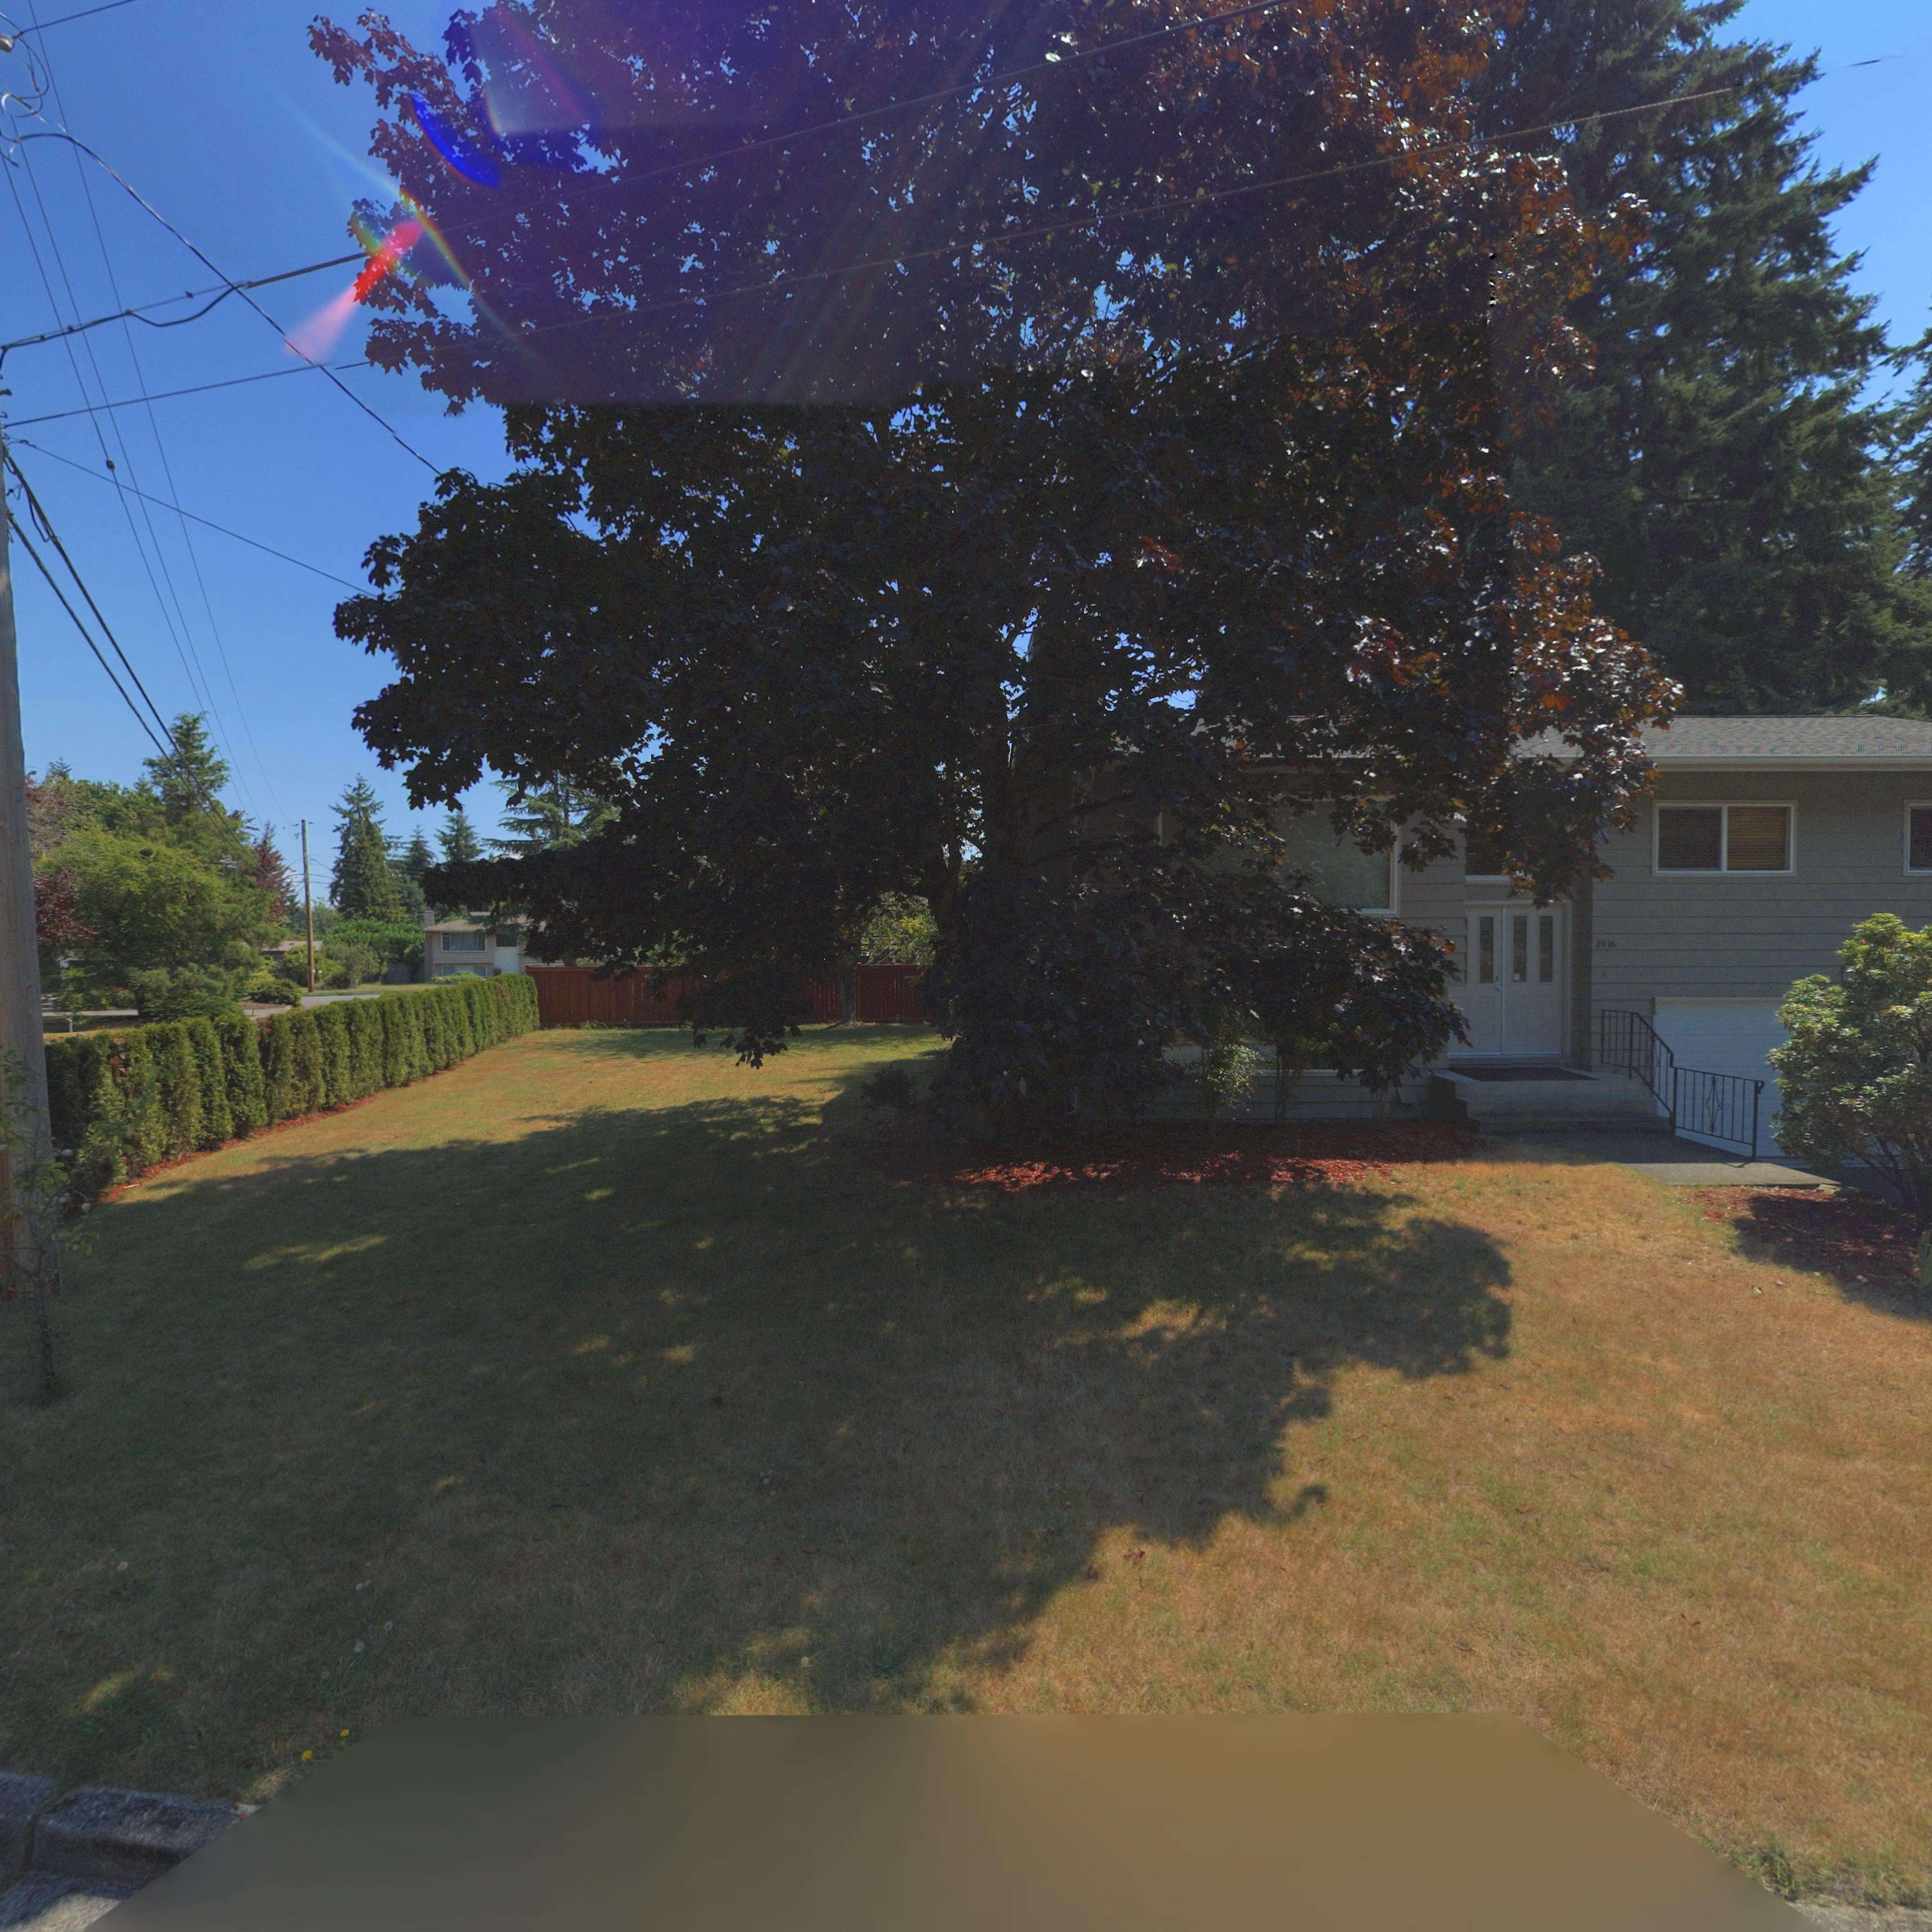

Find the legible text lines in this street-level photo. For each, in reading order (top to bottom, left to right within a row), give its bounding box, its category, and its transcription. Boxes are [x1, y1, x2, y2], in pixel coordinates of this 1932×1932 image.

[1594, 938, 1618, 949] StreetNumber: 2416